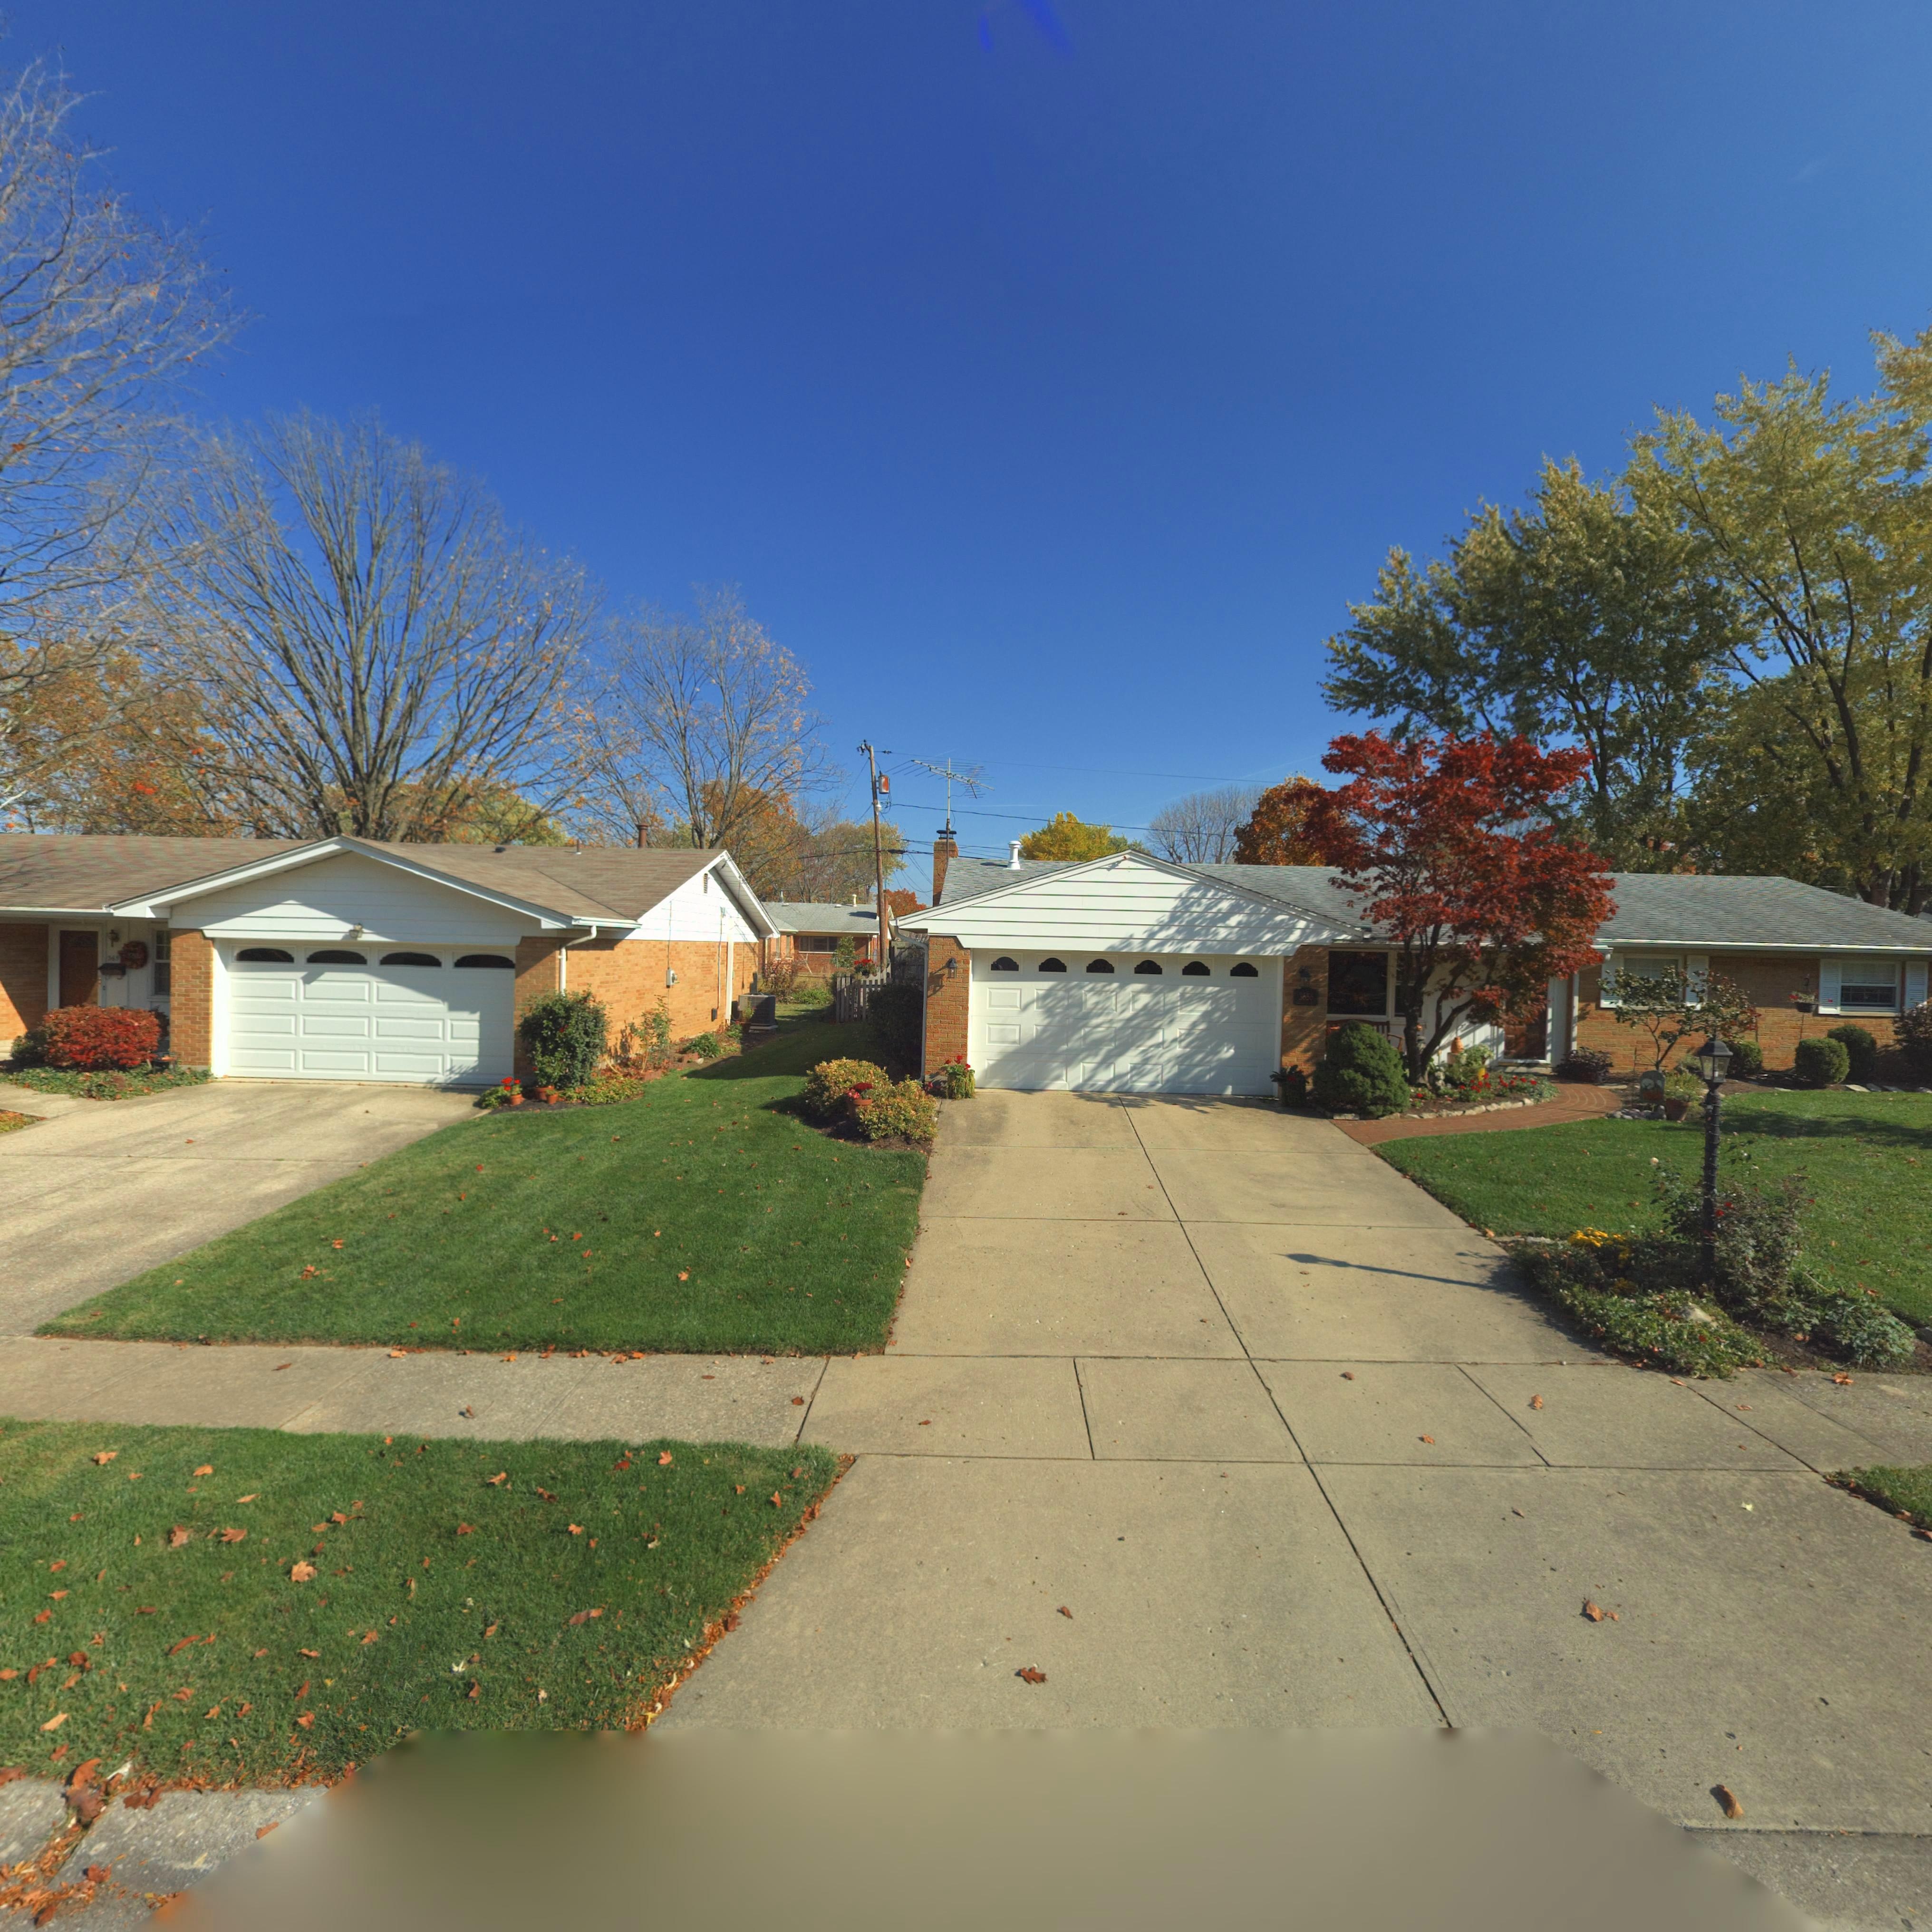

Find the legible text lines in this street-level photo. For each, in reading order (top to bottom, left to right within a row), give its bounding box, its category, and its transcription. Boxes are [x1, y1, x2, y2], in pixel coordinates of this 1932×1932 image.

[1298, 992, 1315, 1002] StreetNumber: 3656